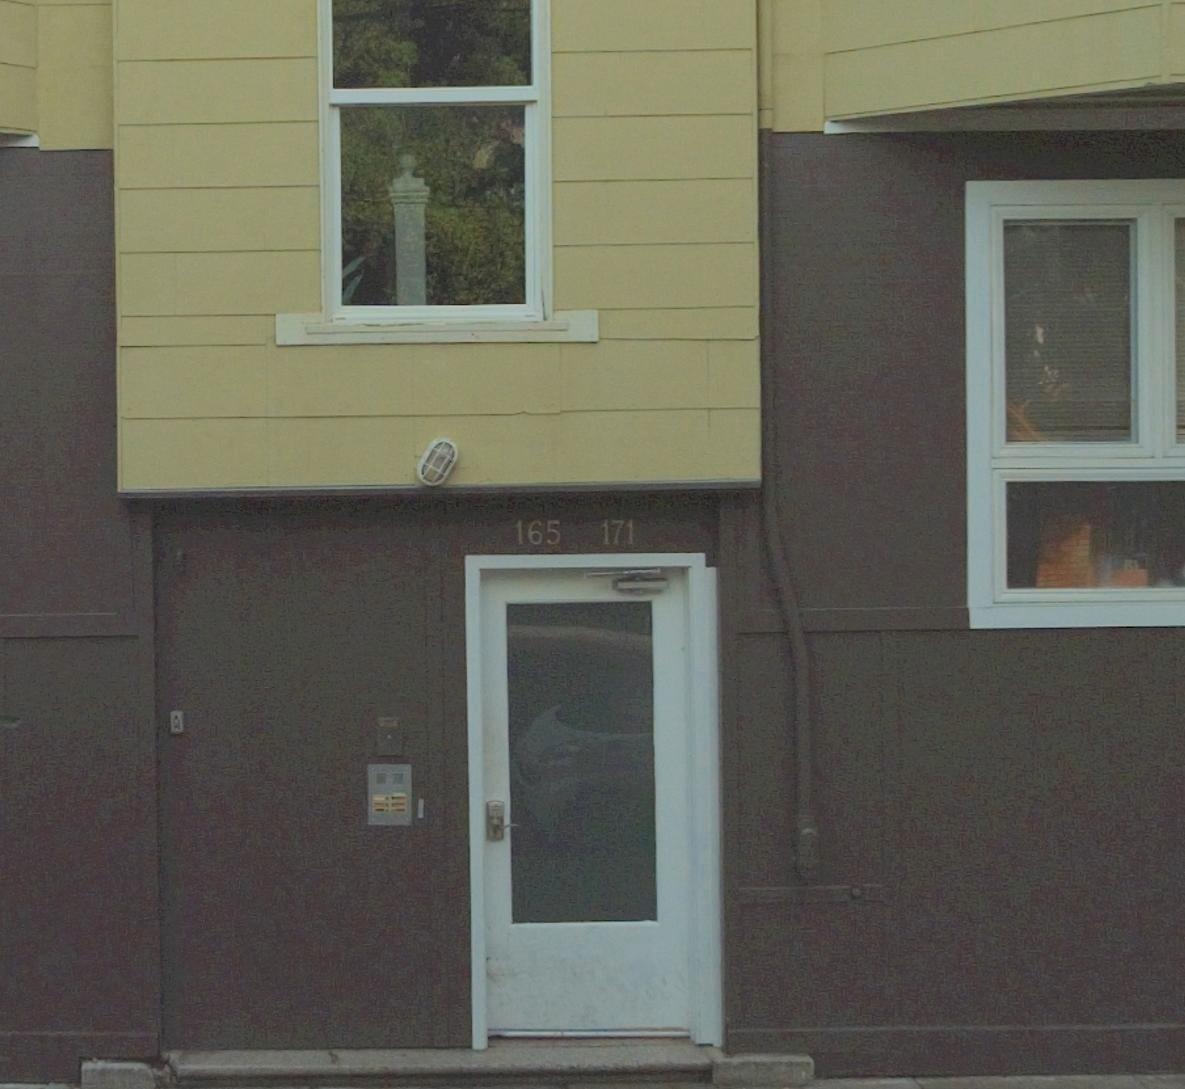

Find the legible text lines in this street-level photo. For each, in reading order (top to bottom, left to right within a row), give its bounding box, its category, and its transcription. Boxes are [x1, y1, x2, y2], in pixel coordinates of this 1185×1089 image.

[513, 519, 562, 546] StreetNumber: 165
[600, 518, 636, 545] StreetNumber: 171